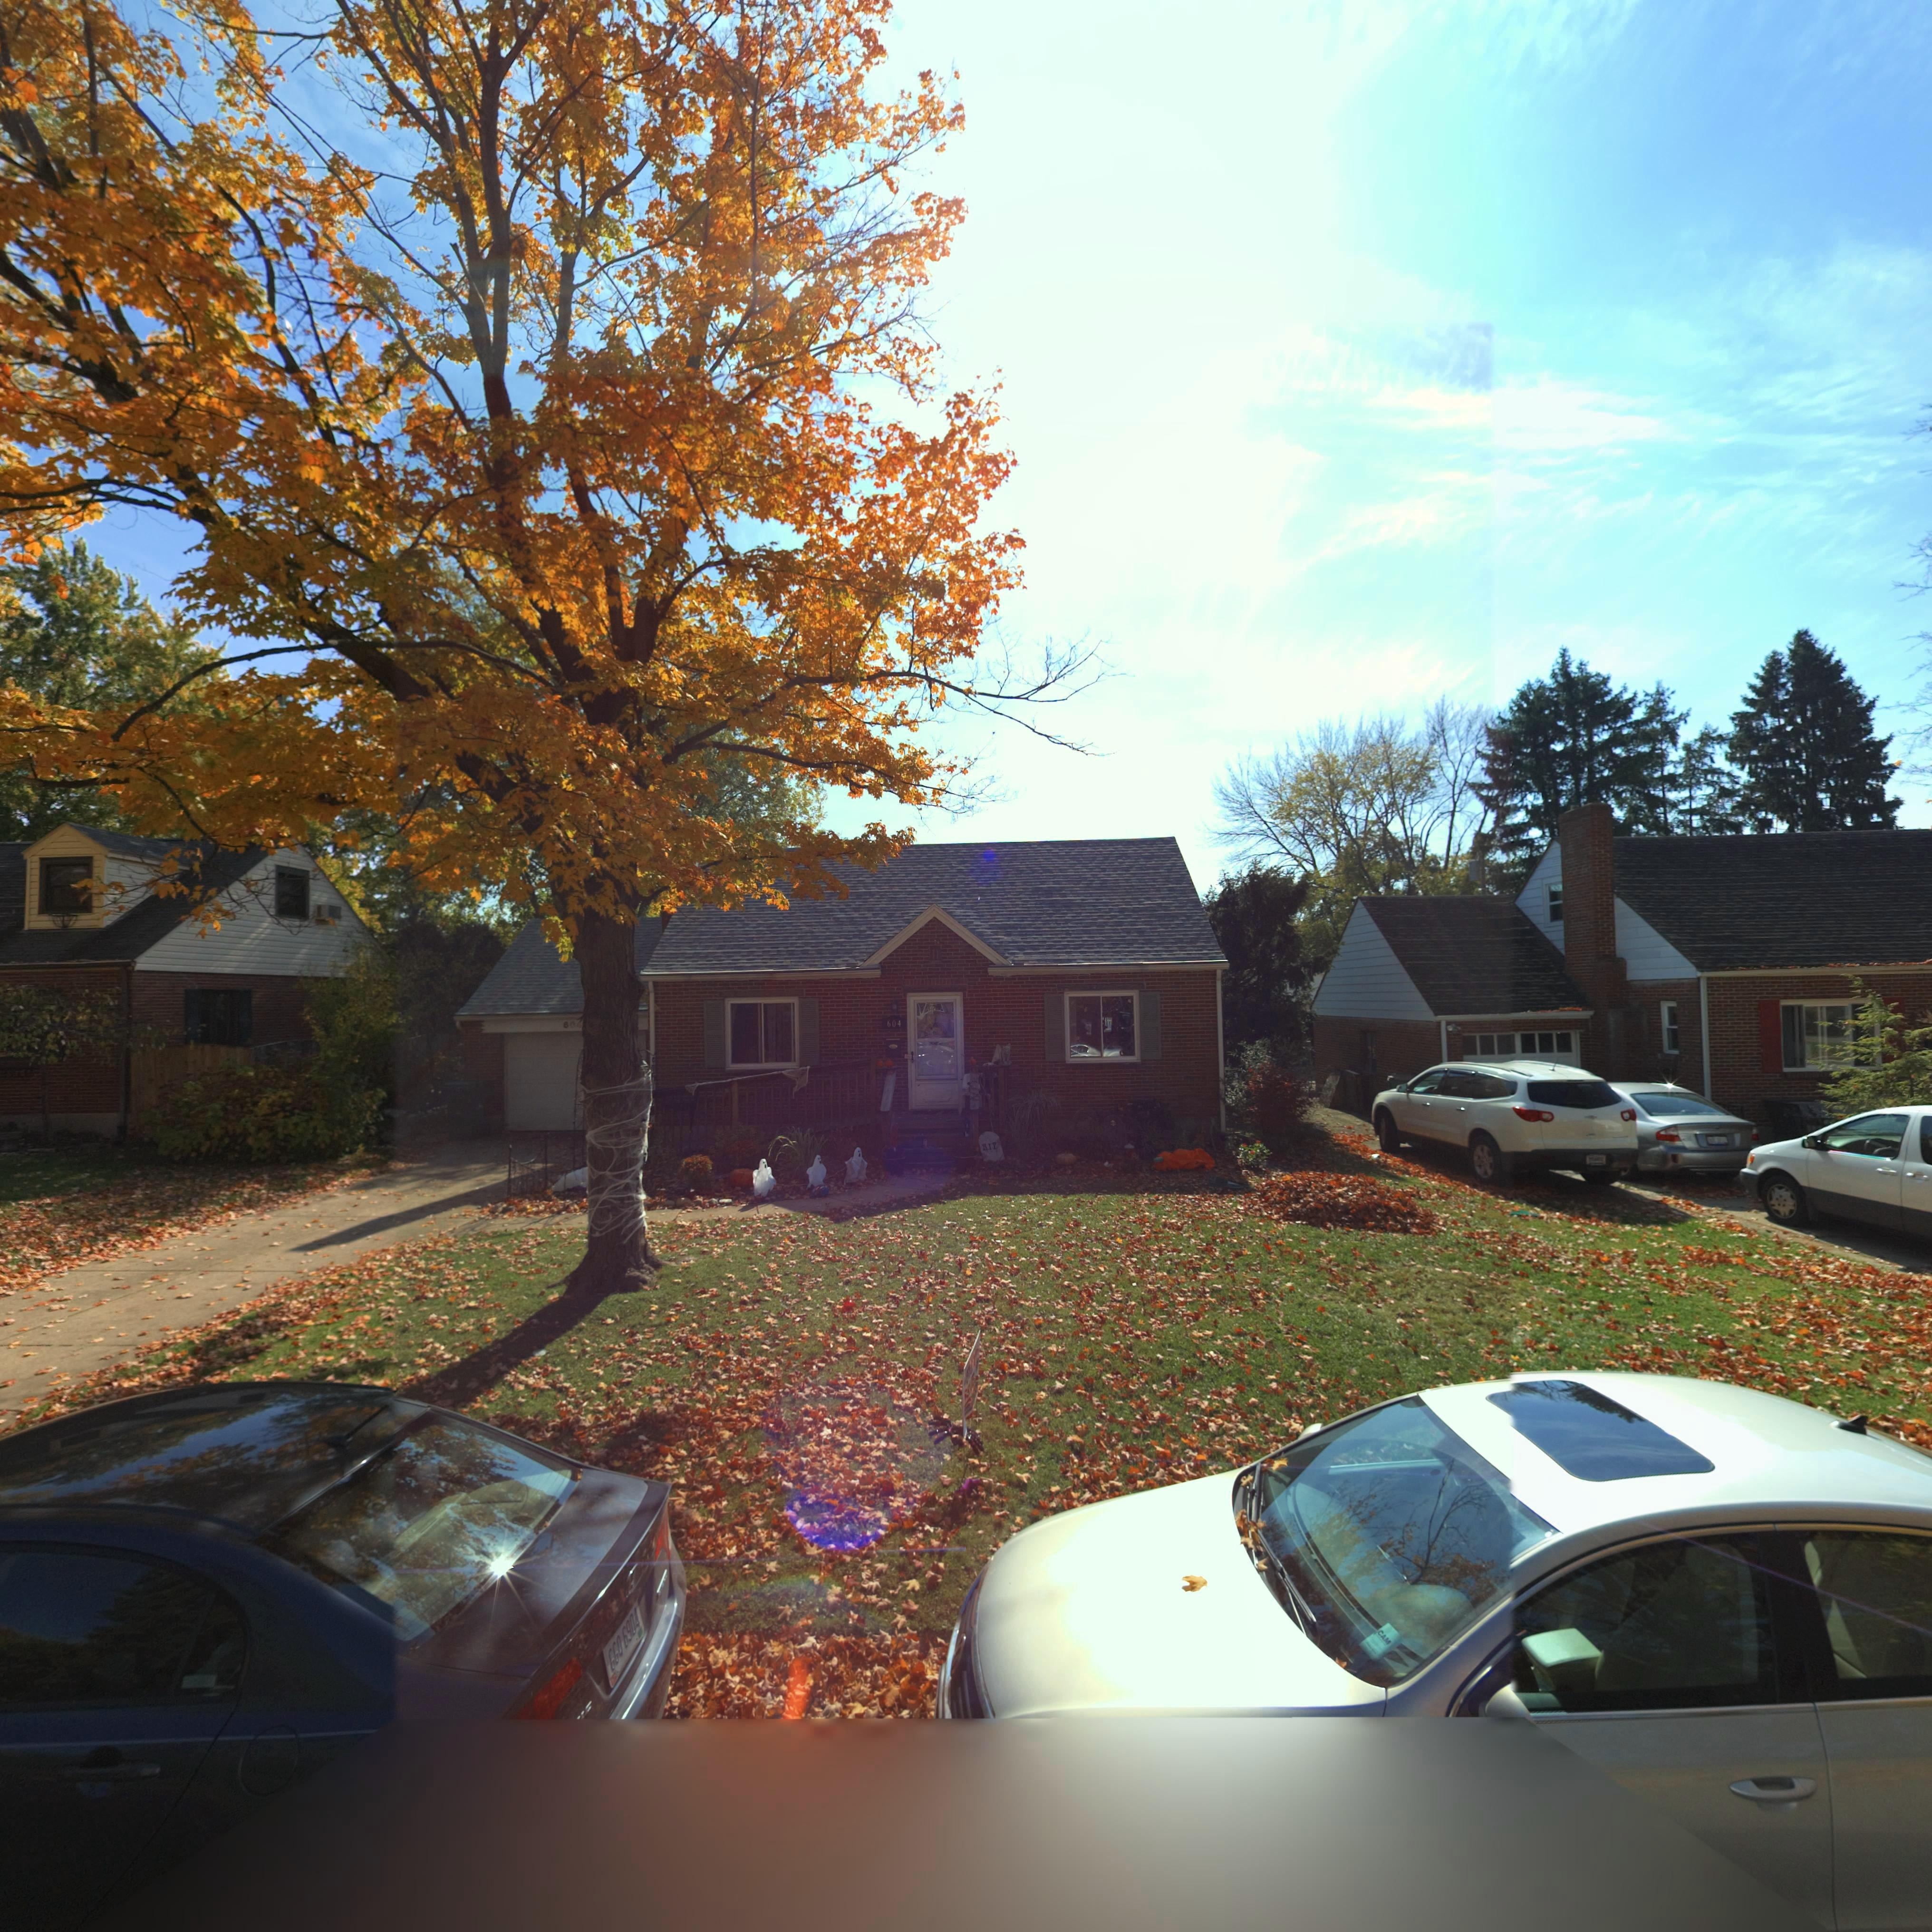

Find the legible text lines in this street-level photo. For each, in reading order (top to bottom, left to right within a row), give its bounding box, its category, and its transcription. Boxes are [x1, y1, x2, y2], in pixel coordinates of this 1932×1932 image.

[562, 1021, 582, 1028] StreetNumber: 604
[887, 1020, 901, 1027] StreetNumber: 604
[981, 1141, 997, 1151] None: RIP
[607, 1604, 641, 1674] None: GG0*6904